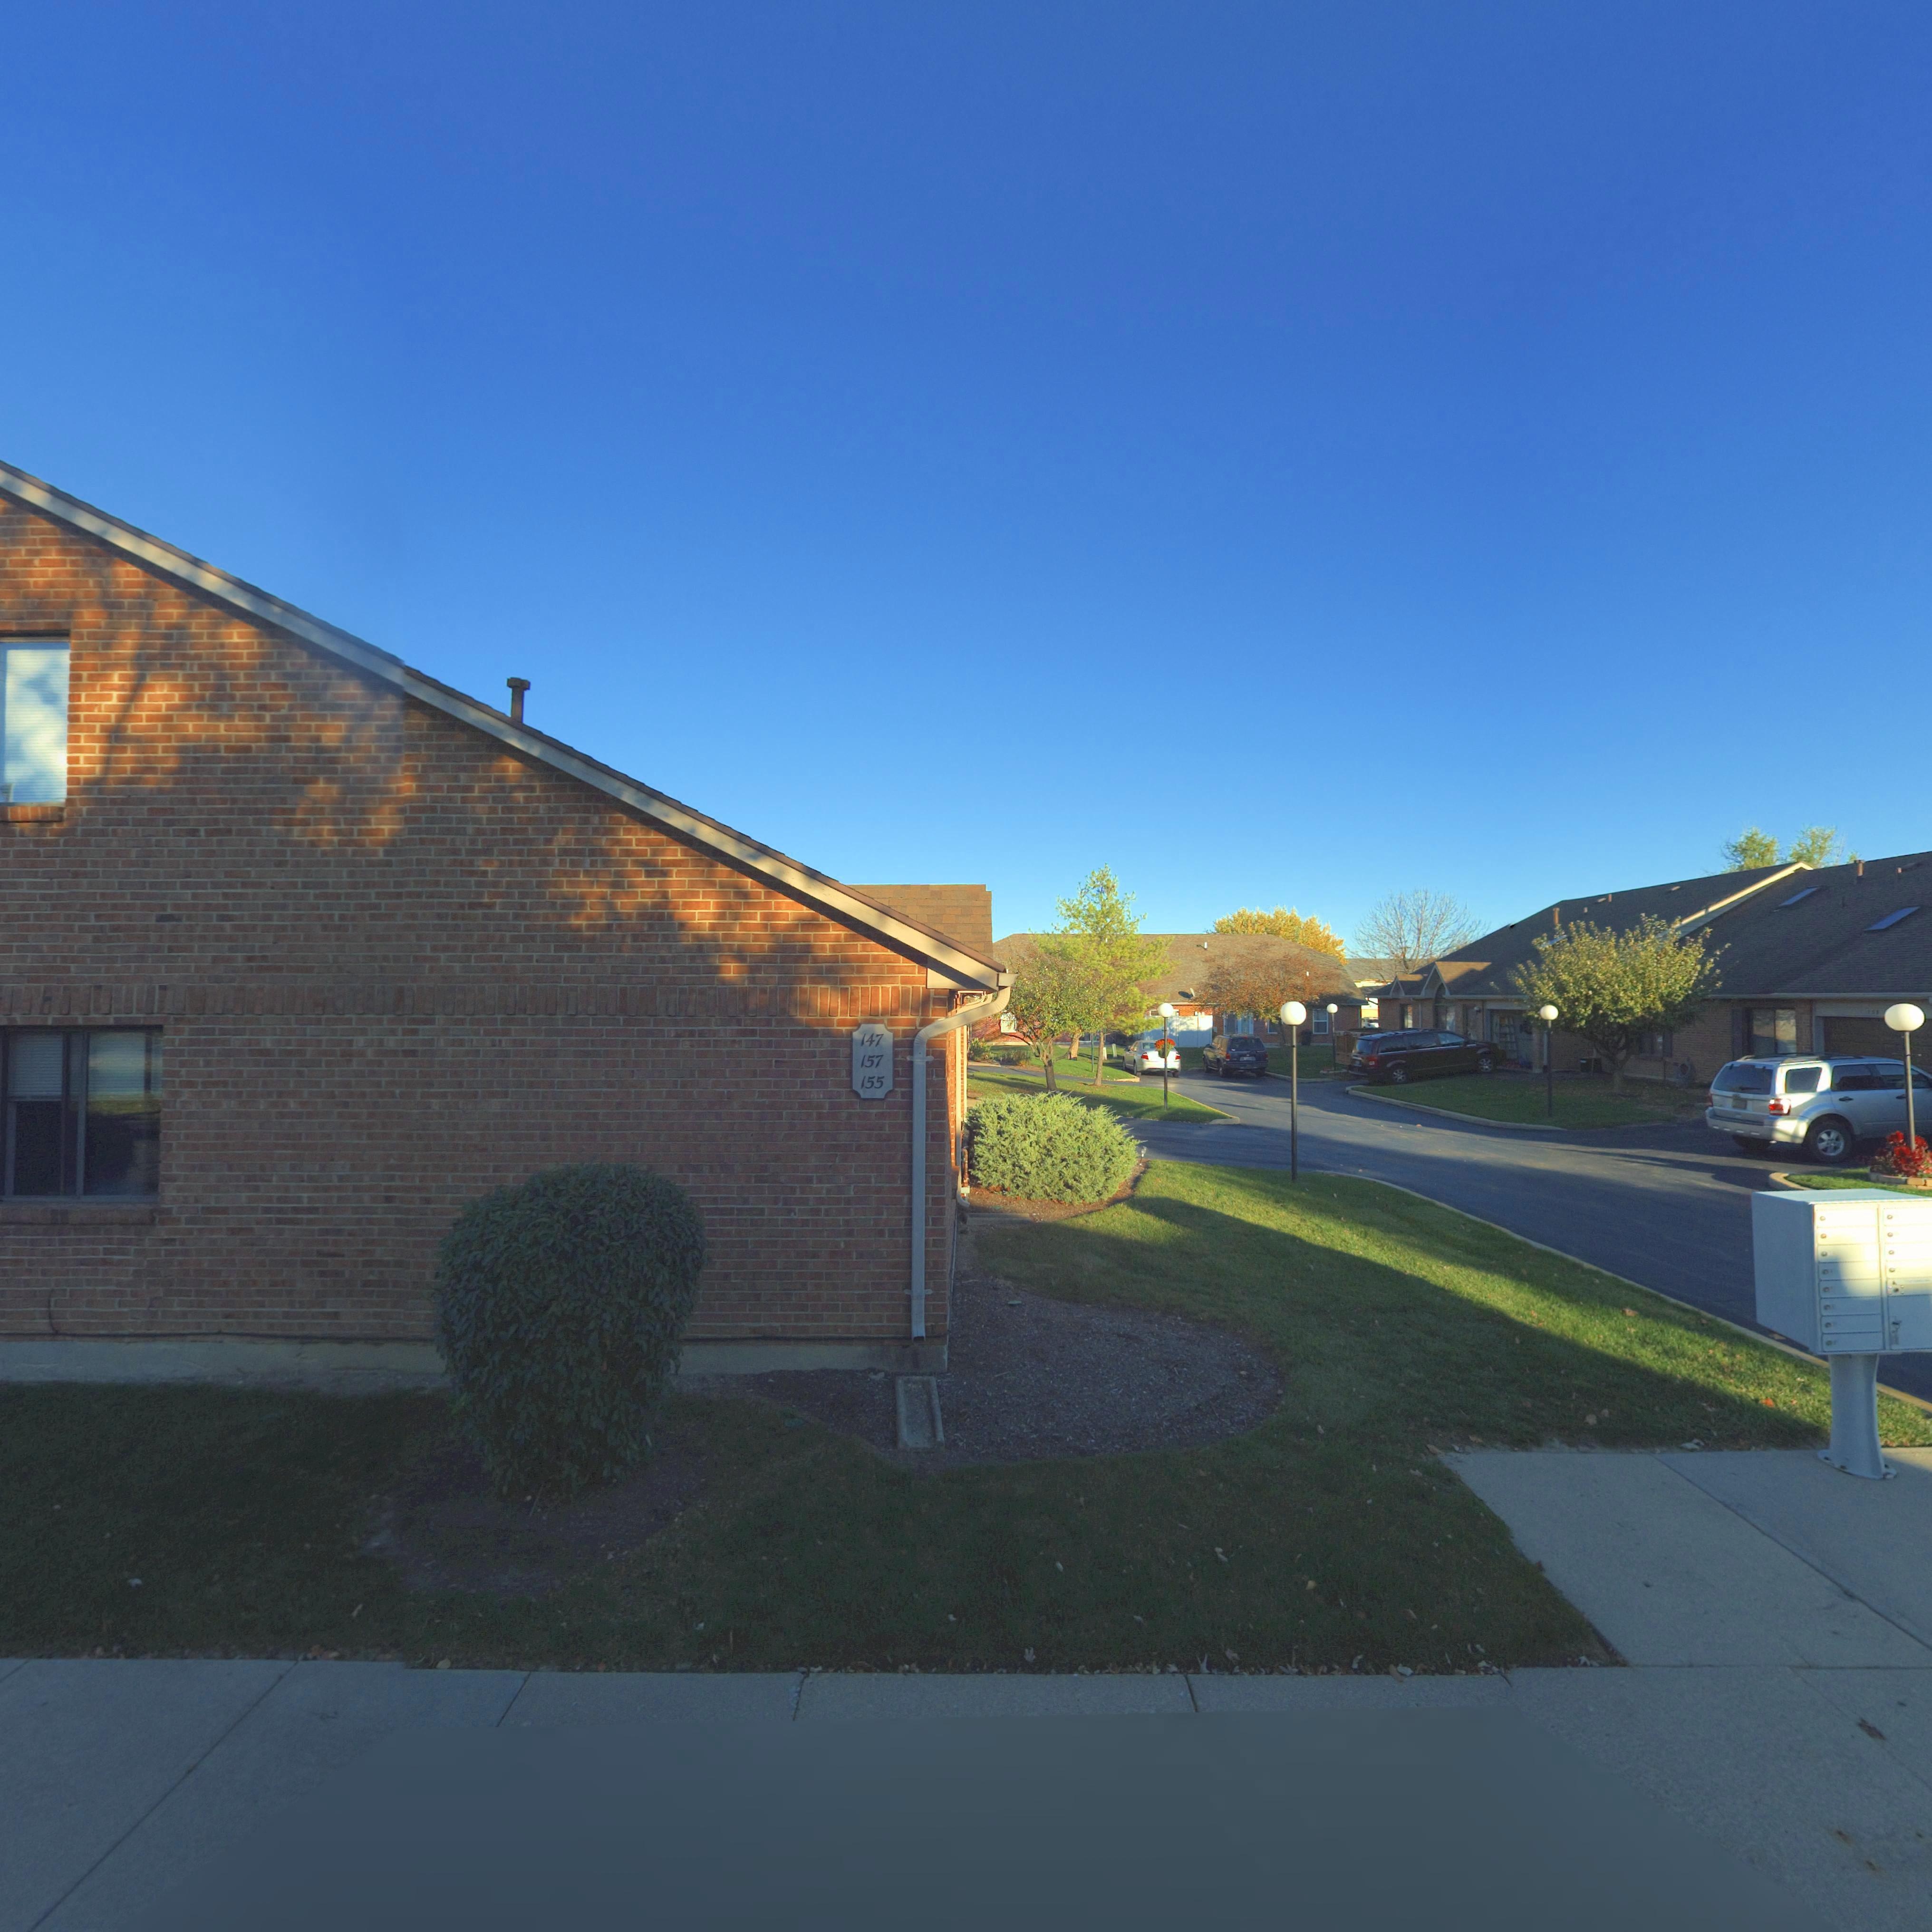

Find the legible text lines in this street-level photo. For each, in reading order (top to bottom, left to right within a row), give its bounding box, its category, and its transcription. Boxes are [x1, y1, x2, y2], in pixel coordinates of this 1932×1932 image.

[860, 1032, 885, 1048] StreetNumber: 147
[860, 1053, 885, 1070] StreetNumber: 157
[860, 1075, 885, 1091] StreetNumber: 155